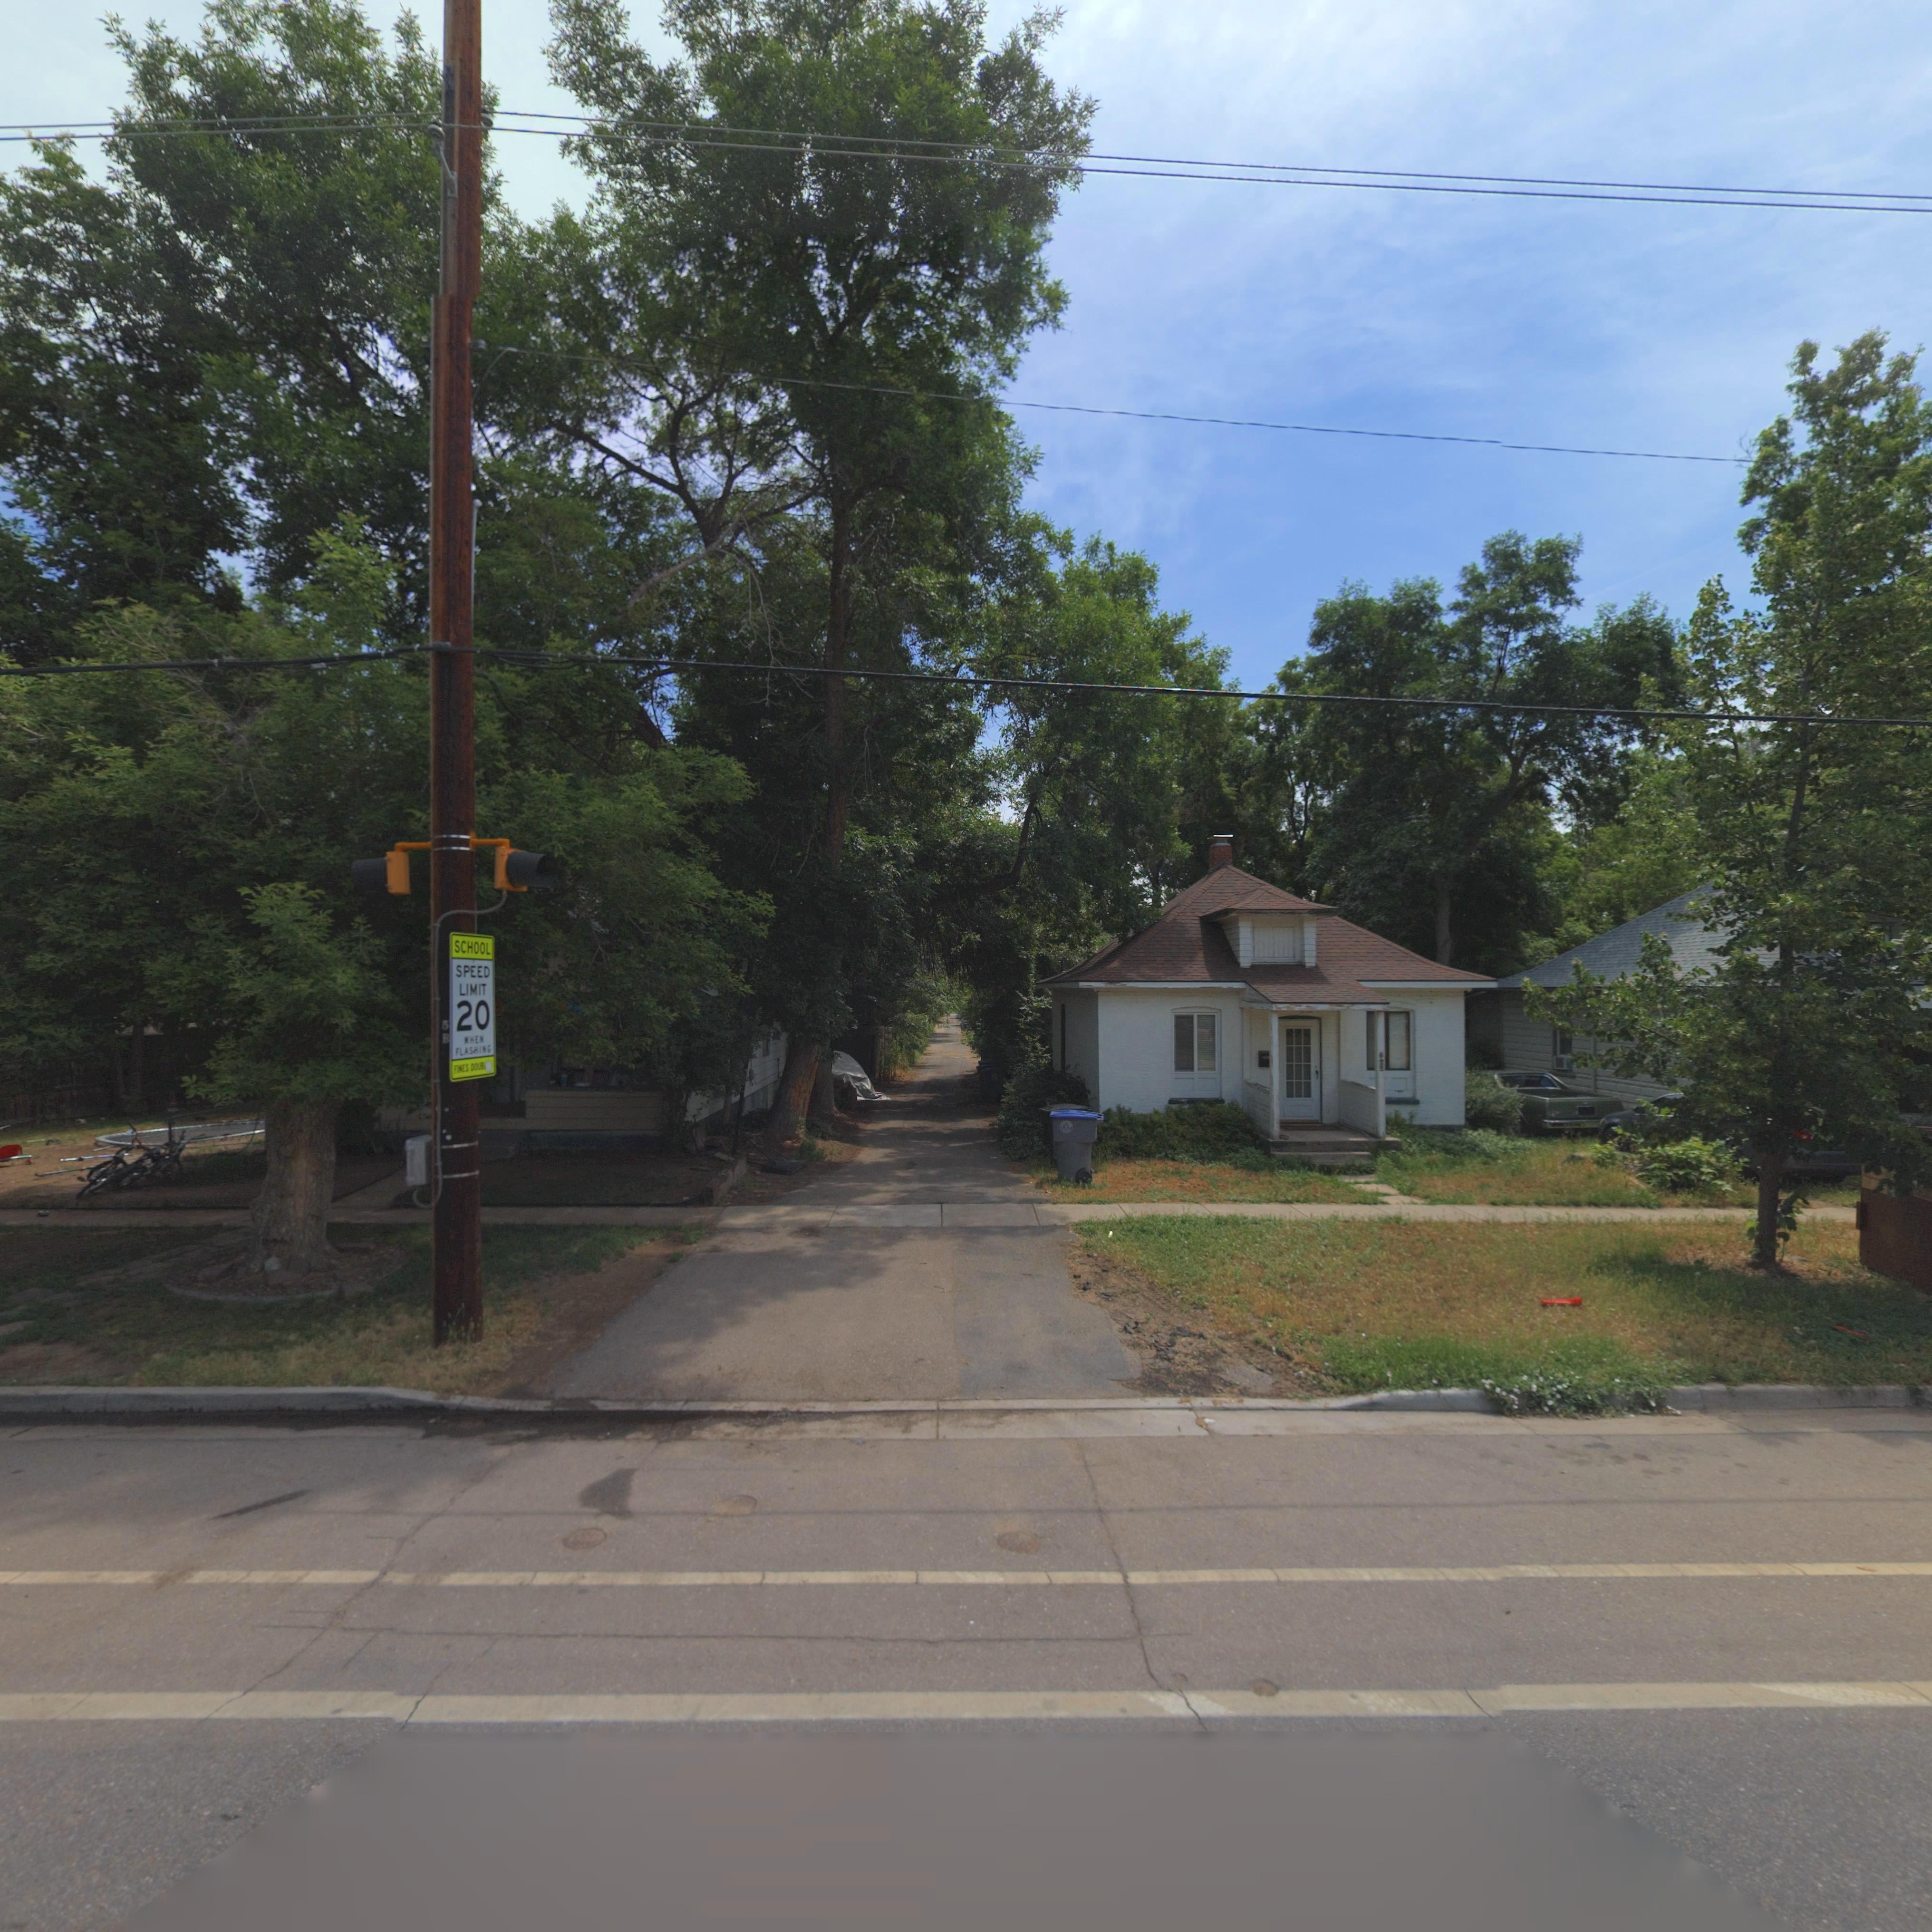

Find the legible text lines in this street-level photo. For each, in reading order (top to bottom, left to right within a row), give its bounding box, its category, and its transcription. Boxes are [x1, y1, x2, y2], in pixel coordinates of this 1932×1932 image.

[1378, 1052, 1384, 1072] StreetNumber: 622